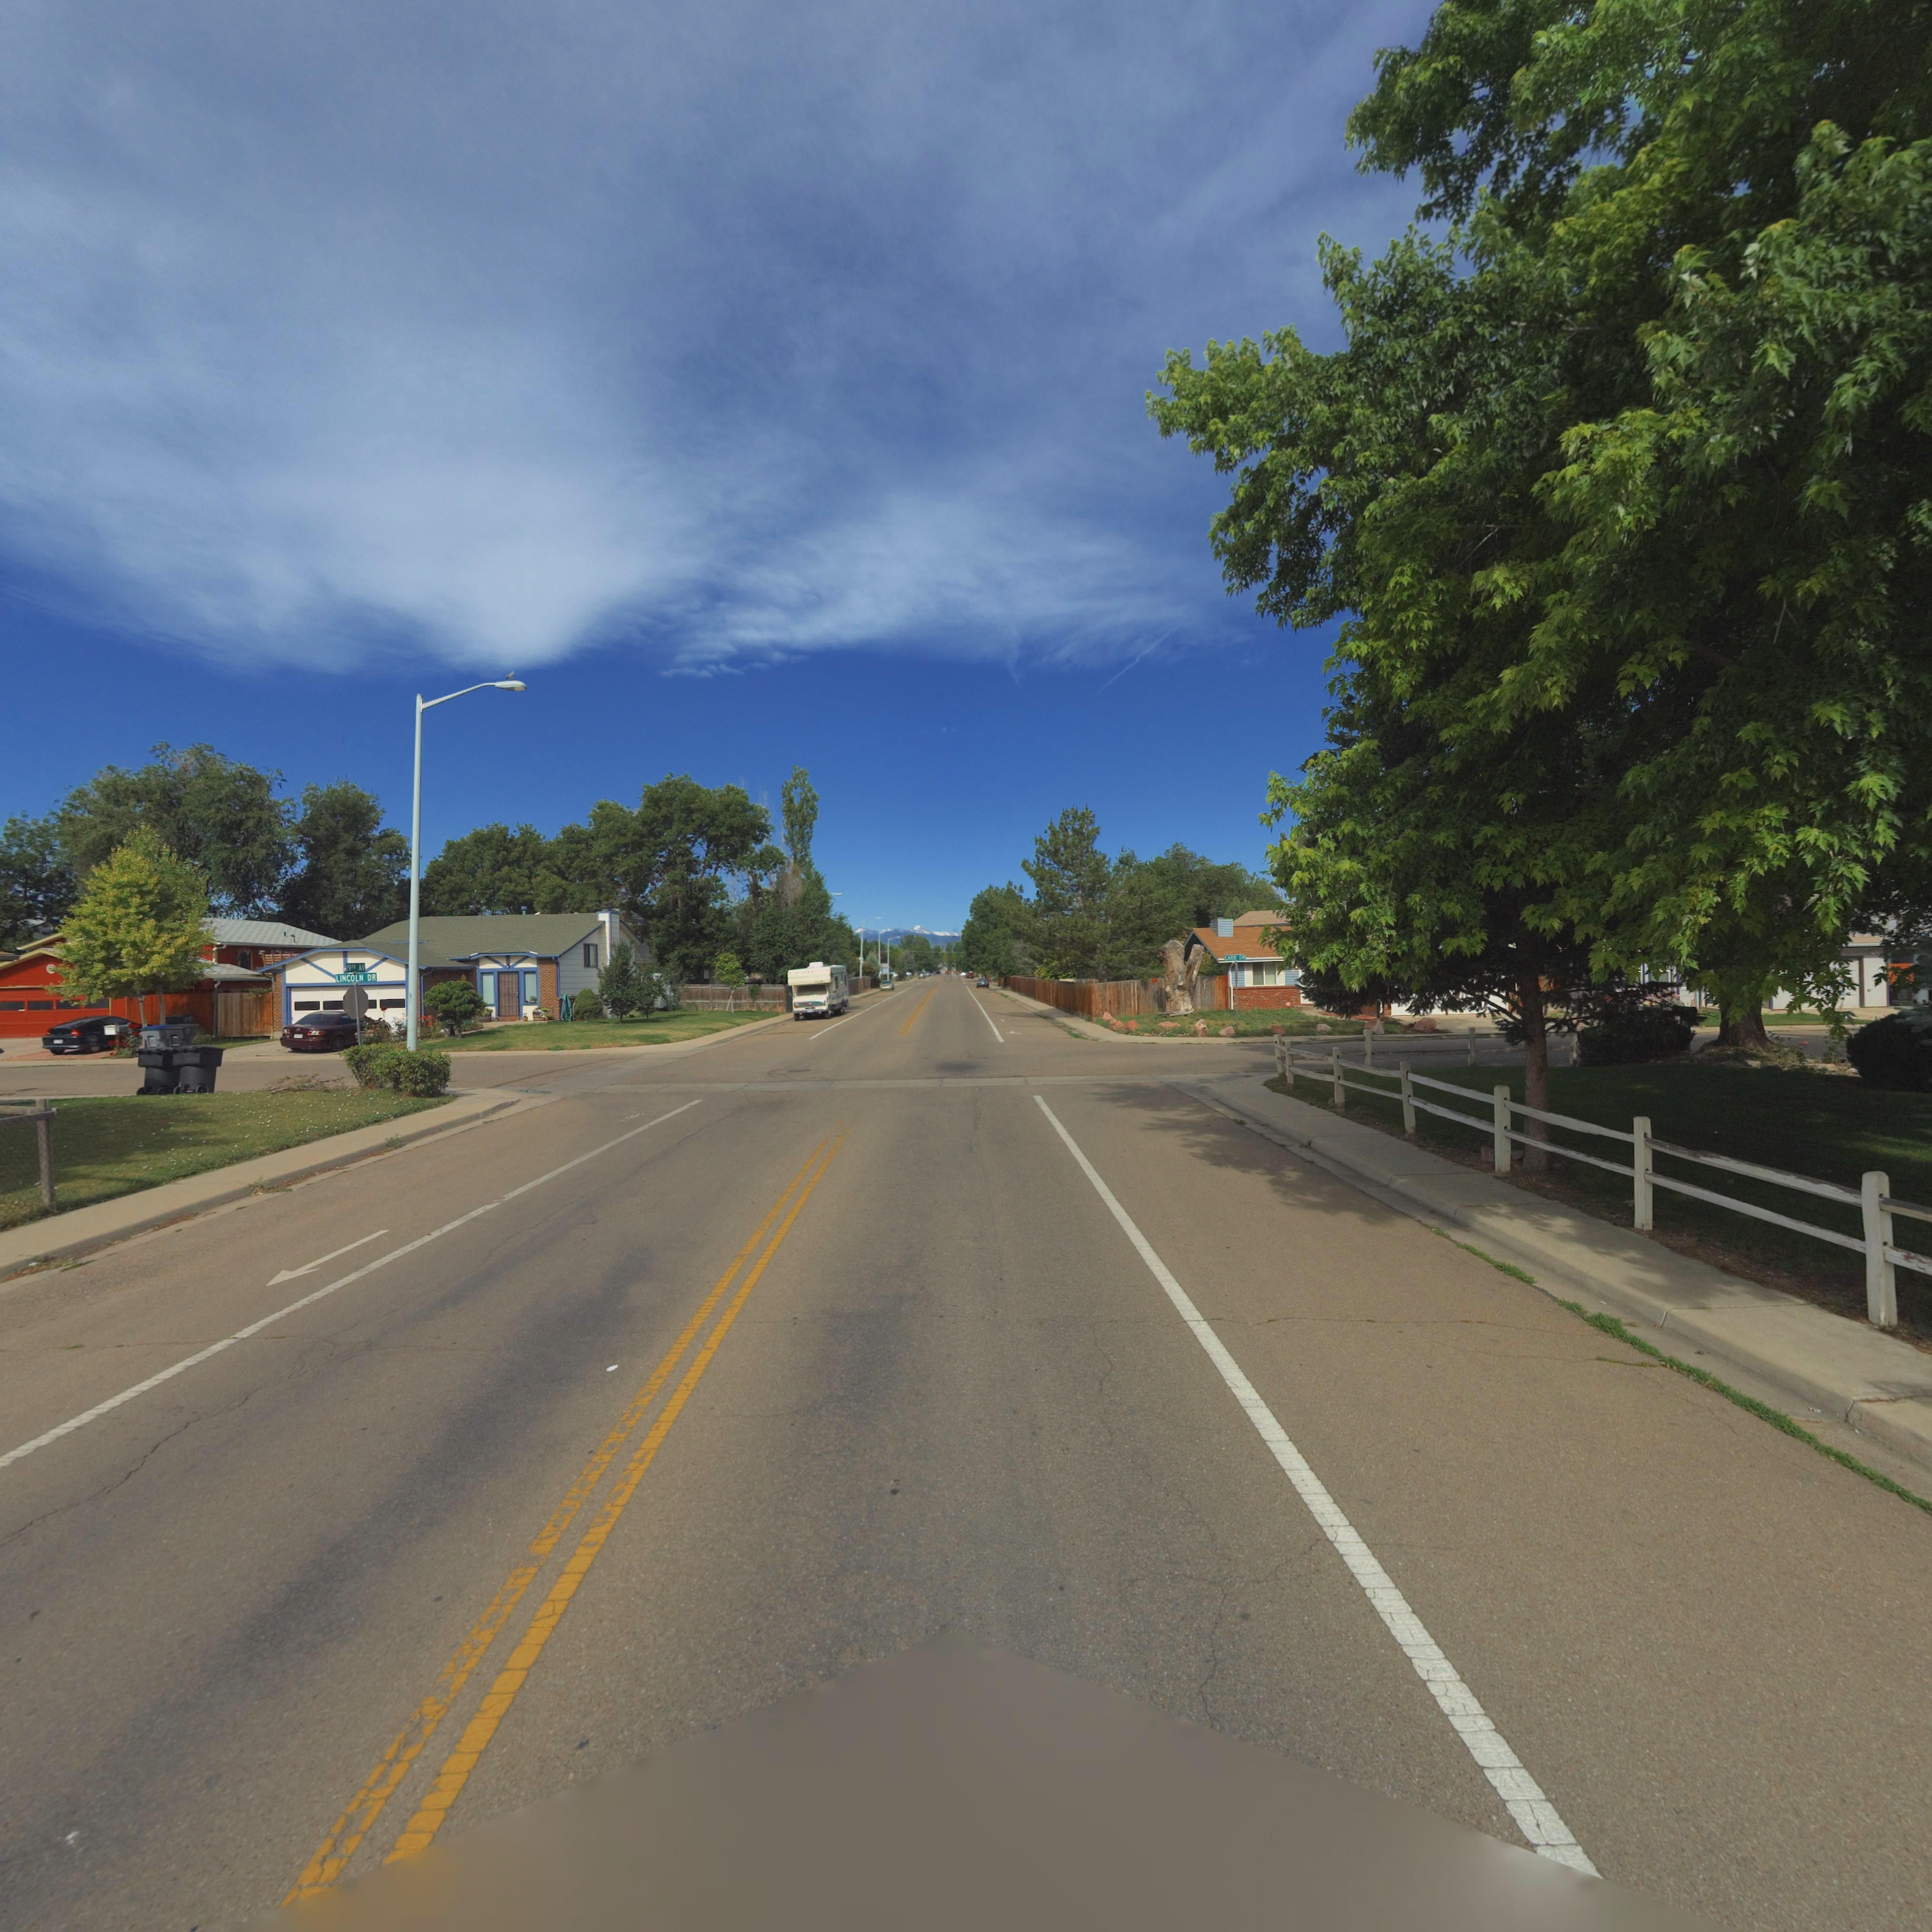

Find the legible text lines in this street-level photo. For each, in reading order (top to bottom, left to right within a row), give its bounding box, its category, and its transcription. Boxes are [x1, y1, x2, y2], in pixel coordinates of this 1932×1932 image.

[1225, 955, 1246, 960] StreetName: CARR DR
[346, 964, 365, 971] StreetName: 19TH AV
[335, 973, 377, 983] StreetName: LINCOLN DR